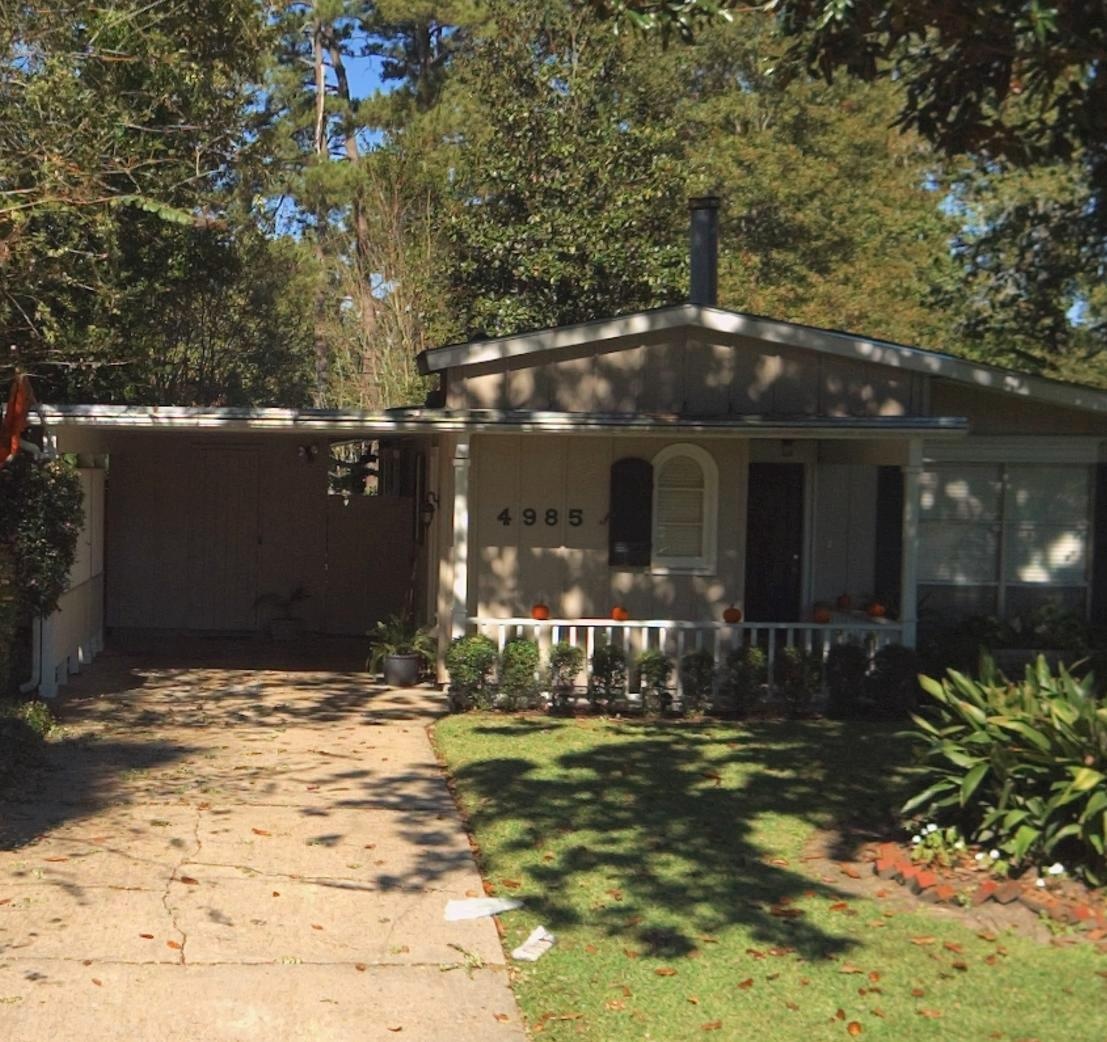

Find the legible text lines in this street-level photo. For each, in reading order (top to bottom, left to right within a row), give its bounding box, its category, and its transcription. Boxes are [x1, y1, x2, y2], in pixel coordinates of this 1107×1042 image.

[496, 507, 583, 527] StreetNumber: 4985